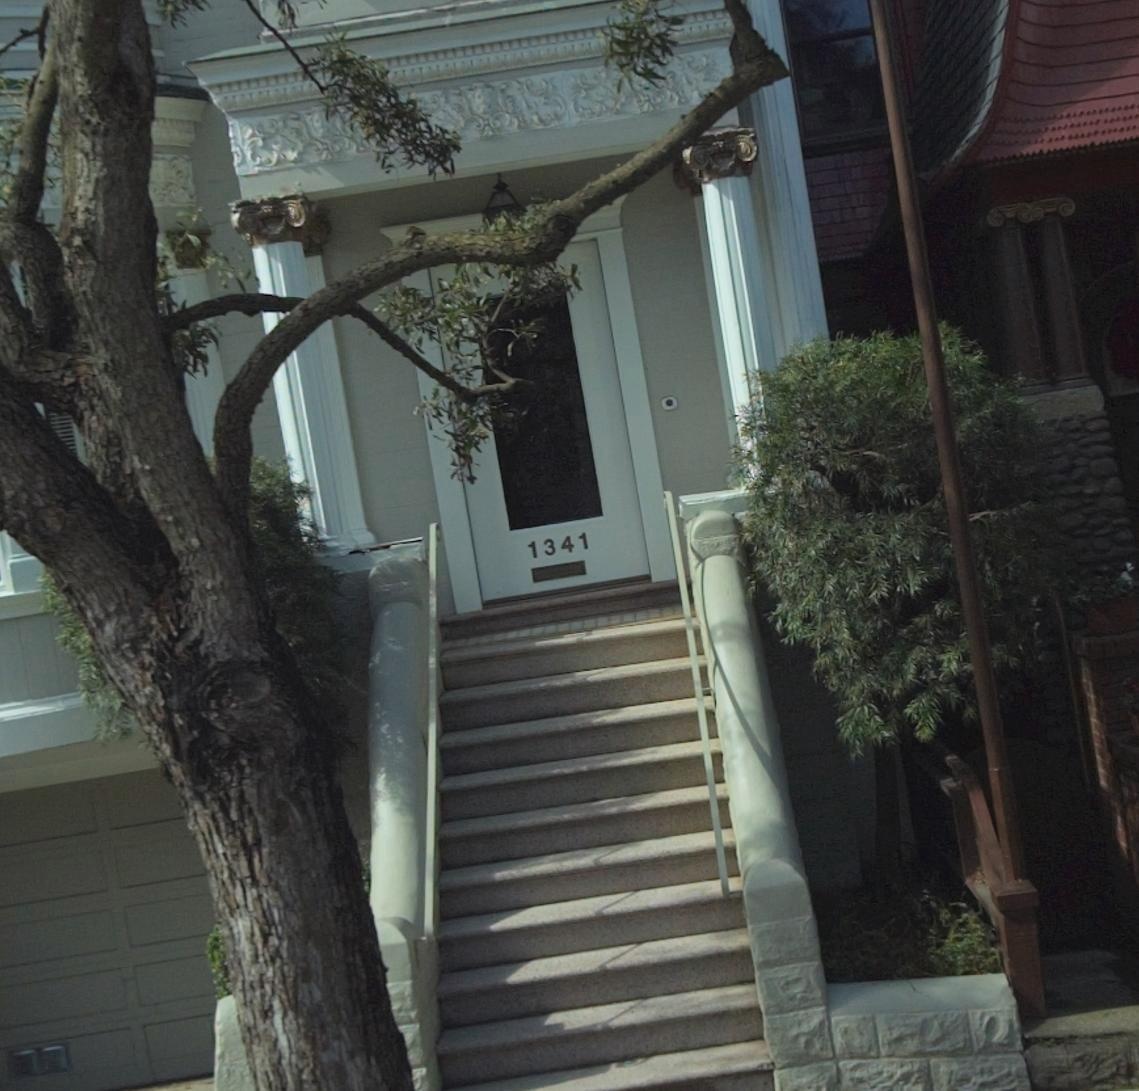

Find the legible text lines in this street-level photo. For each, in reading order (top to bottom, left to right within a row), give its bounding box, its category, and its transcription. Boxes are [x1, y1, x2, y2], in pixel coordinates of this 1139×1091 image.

[524, 528, 592, 563] StreetNumber: 1341